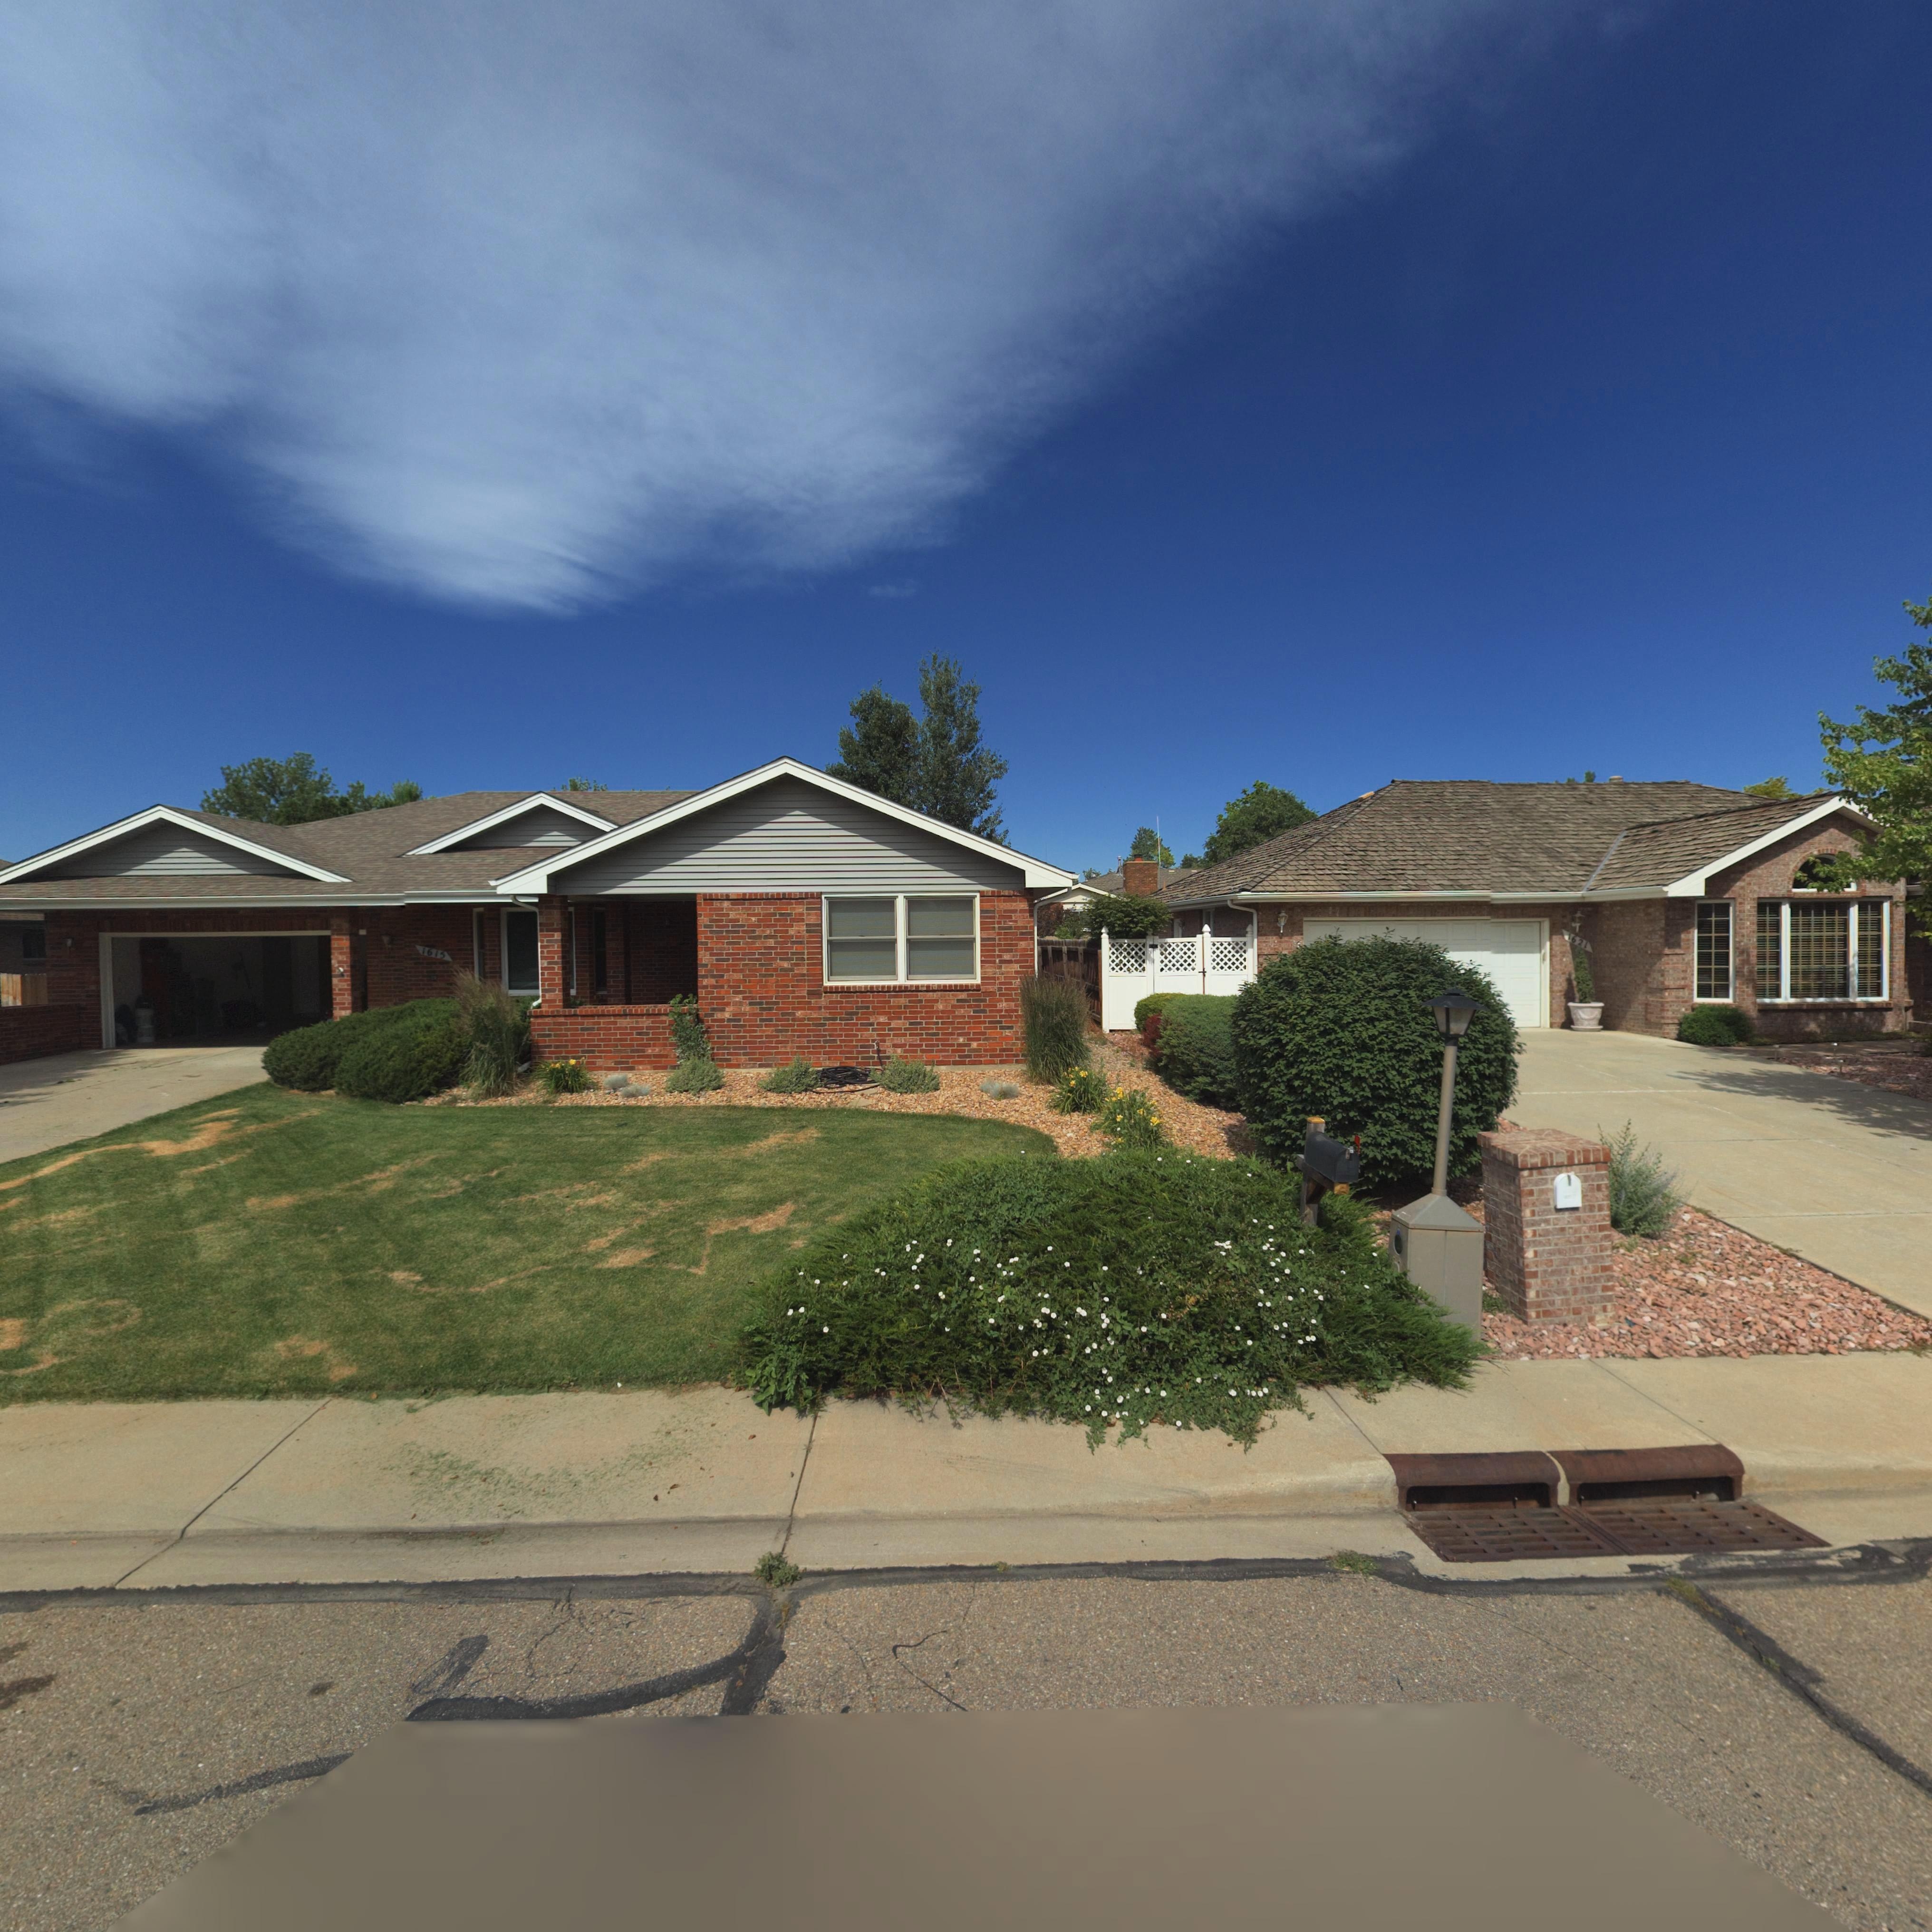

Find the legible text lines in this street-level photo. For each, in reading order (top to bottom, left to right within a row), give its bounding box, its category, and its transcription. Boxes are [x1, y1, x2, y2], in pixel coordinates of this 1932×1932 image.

[1567, 931, 1589, 949] StreetNumber: 1621
[421, 946, 446, 960] StreetNumber: 1615